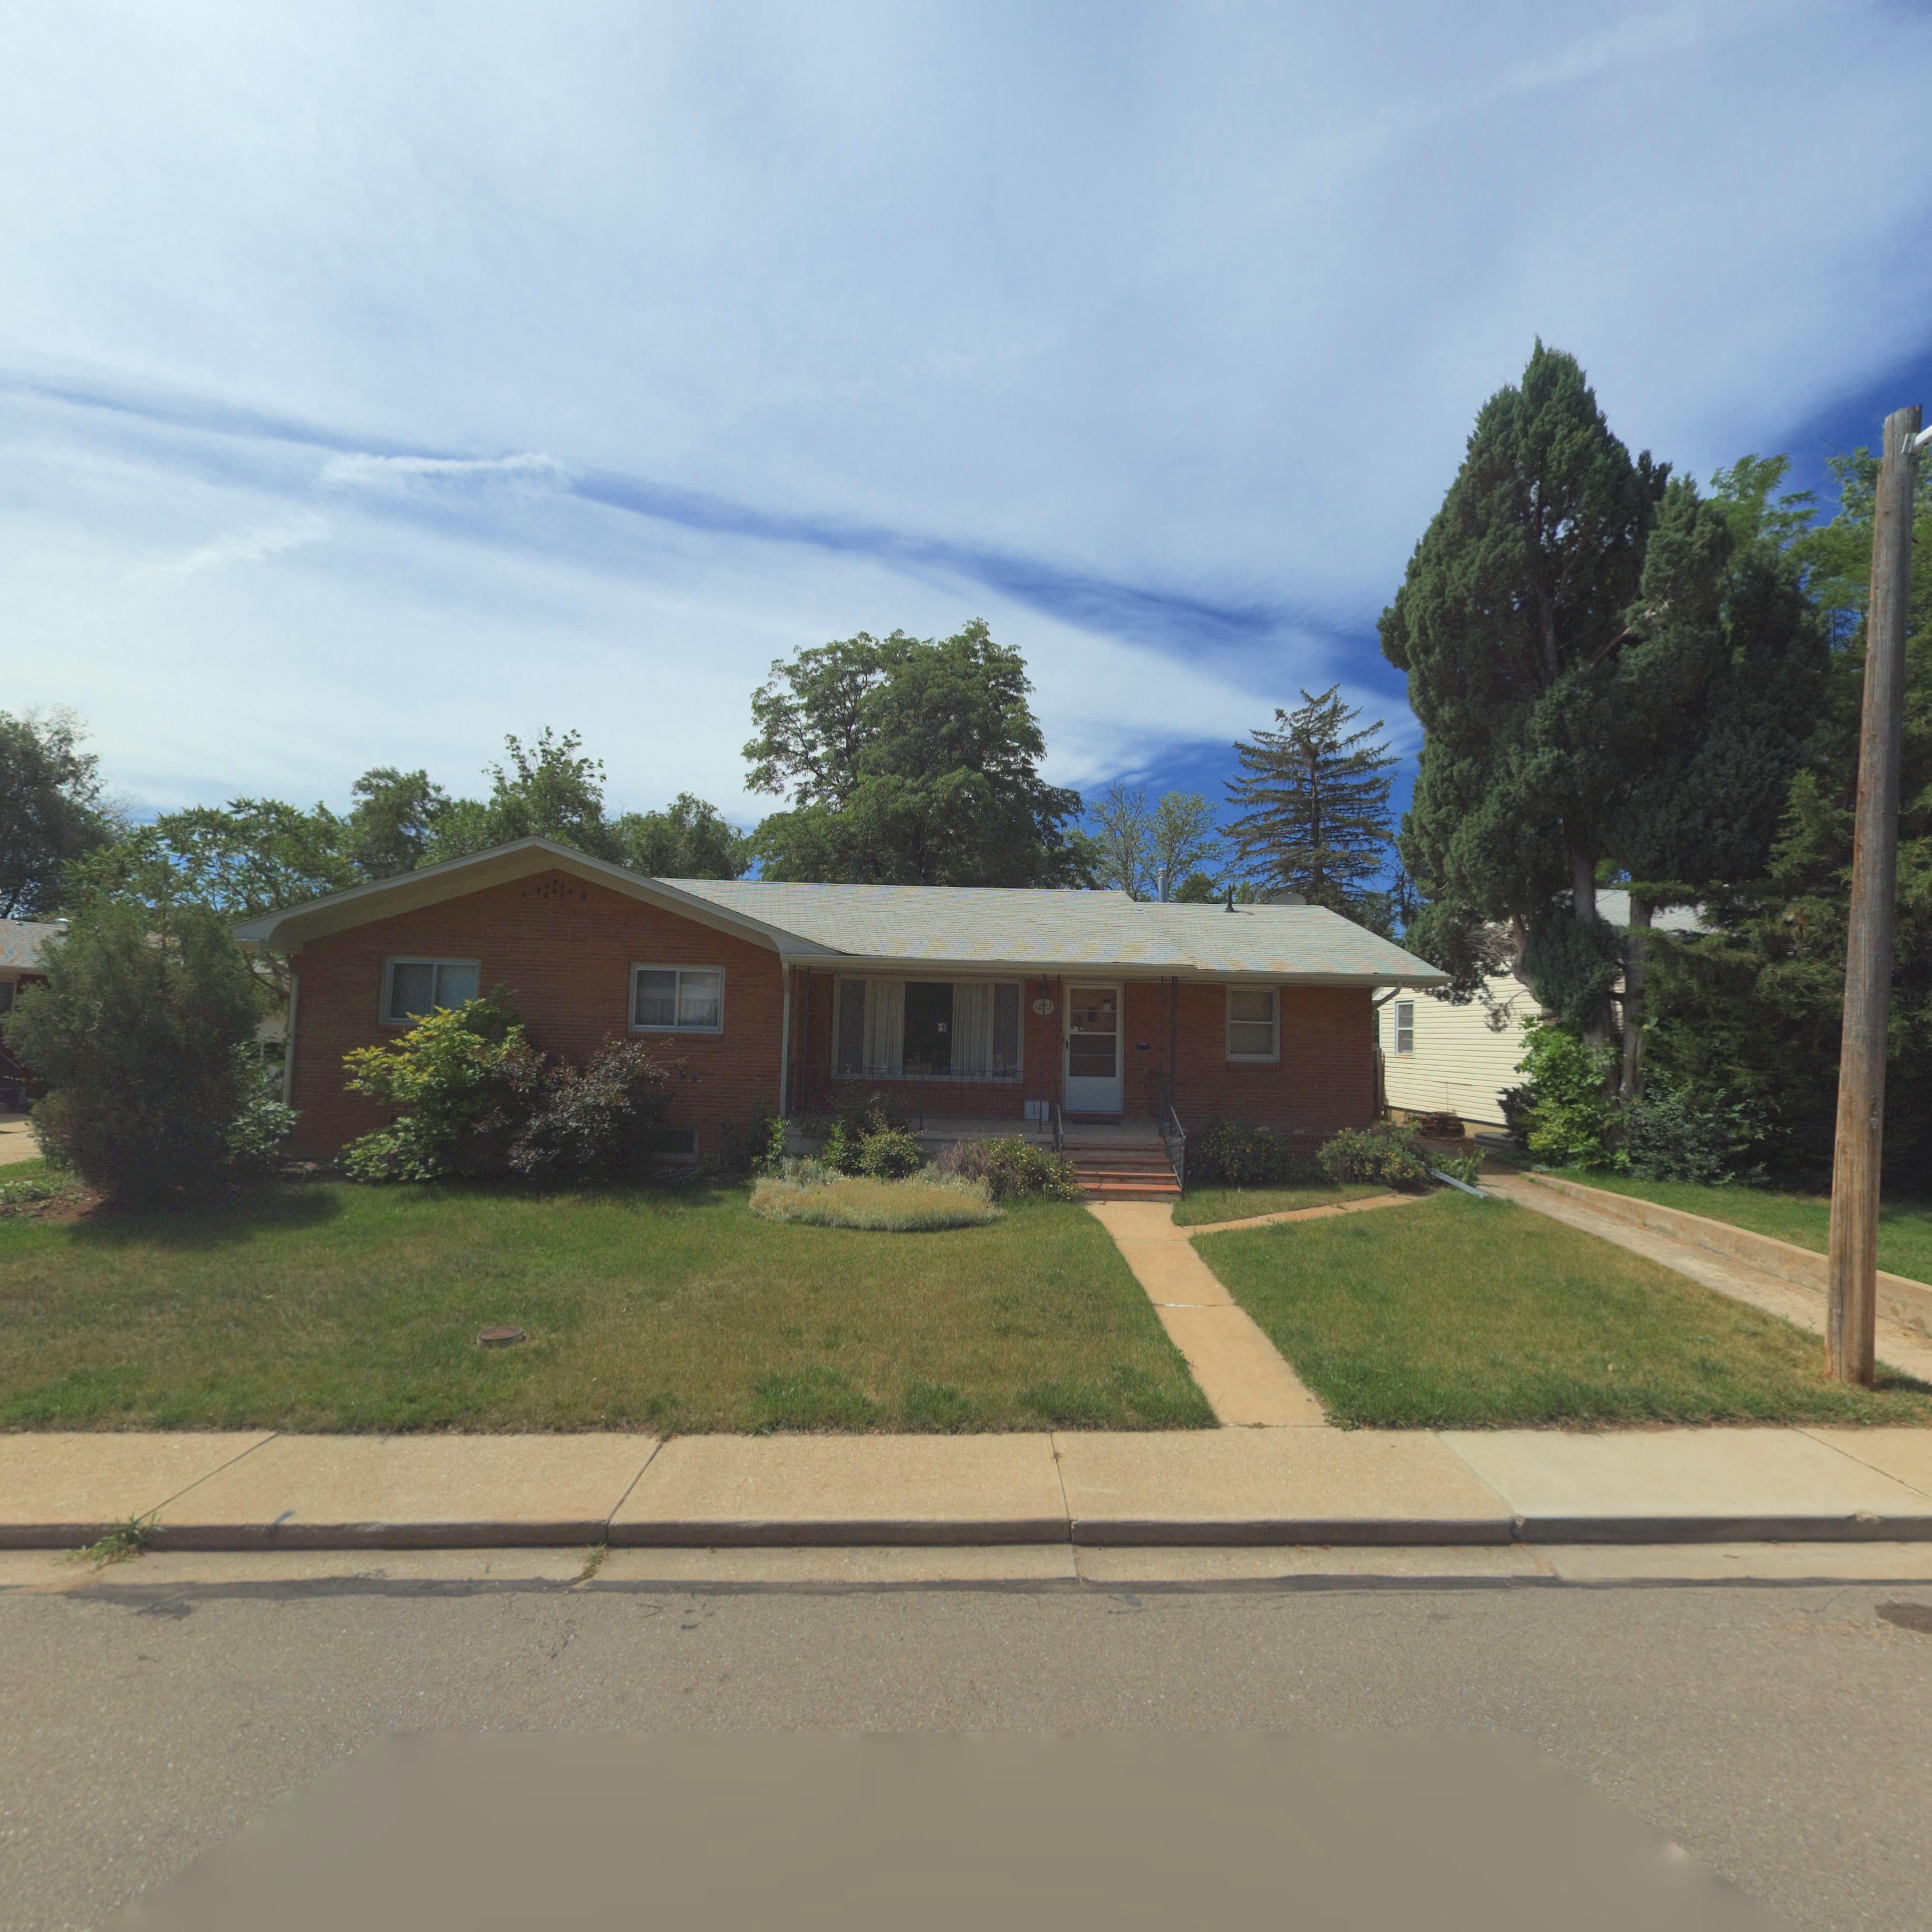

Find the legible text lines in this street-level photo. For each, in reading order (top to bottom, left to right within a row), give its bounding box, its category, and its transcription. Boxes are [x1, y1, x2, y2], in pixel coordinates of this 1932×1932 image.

[1034, 1003, 1051, 1010] StreetNumber: 12*3